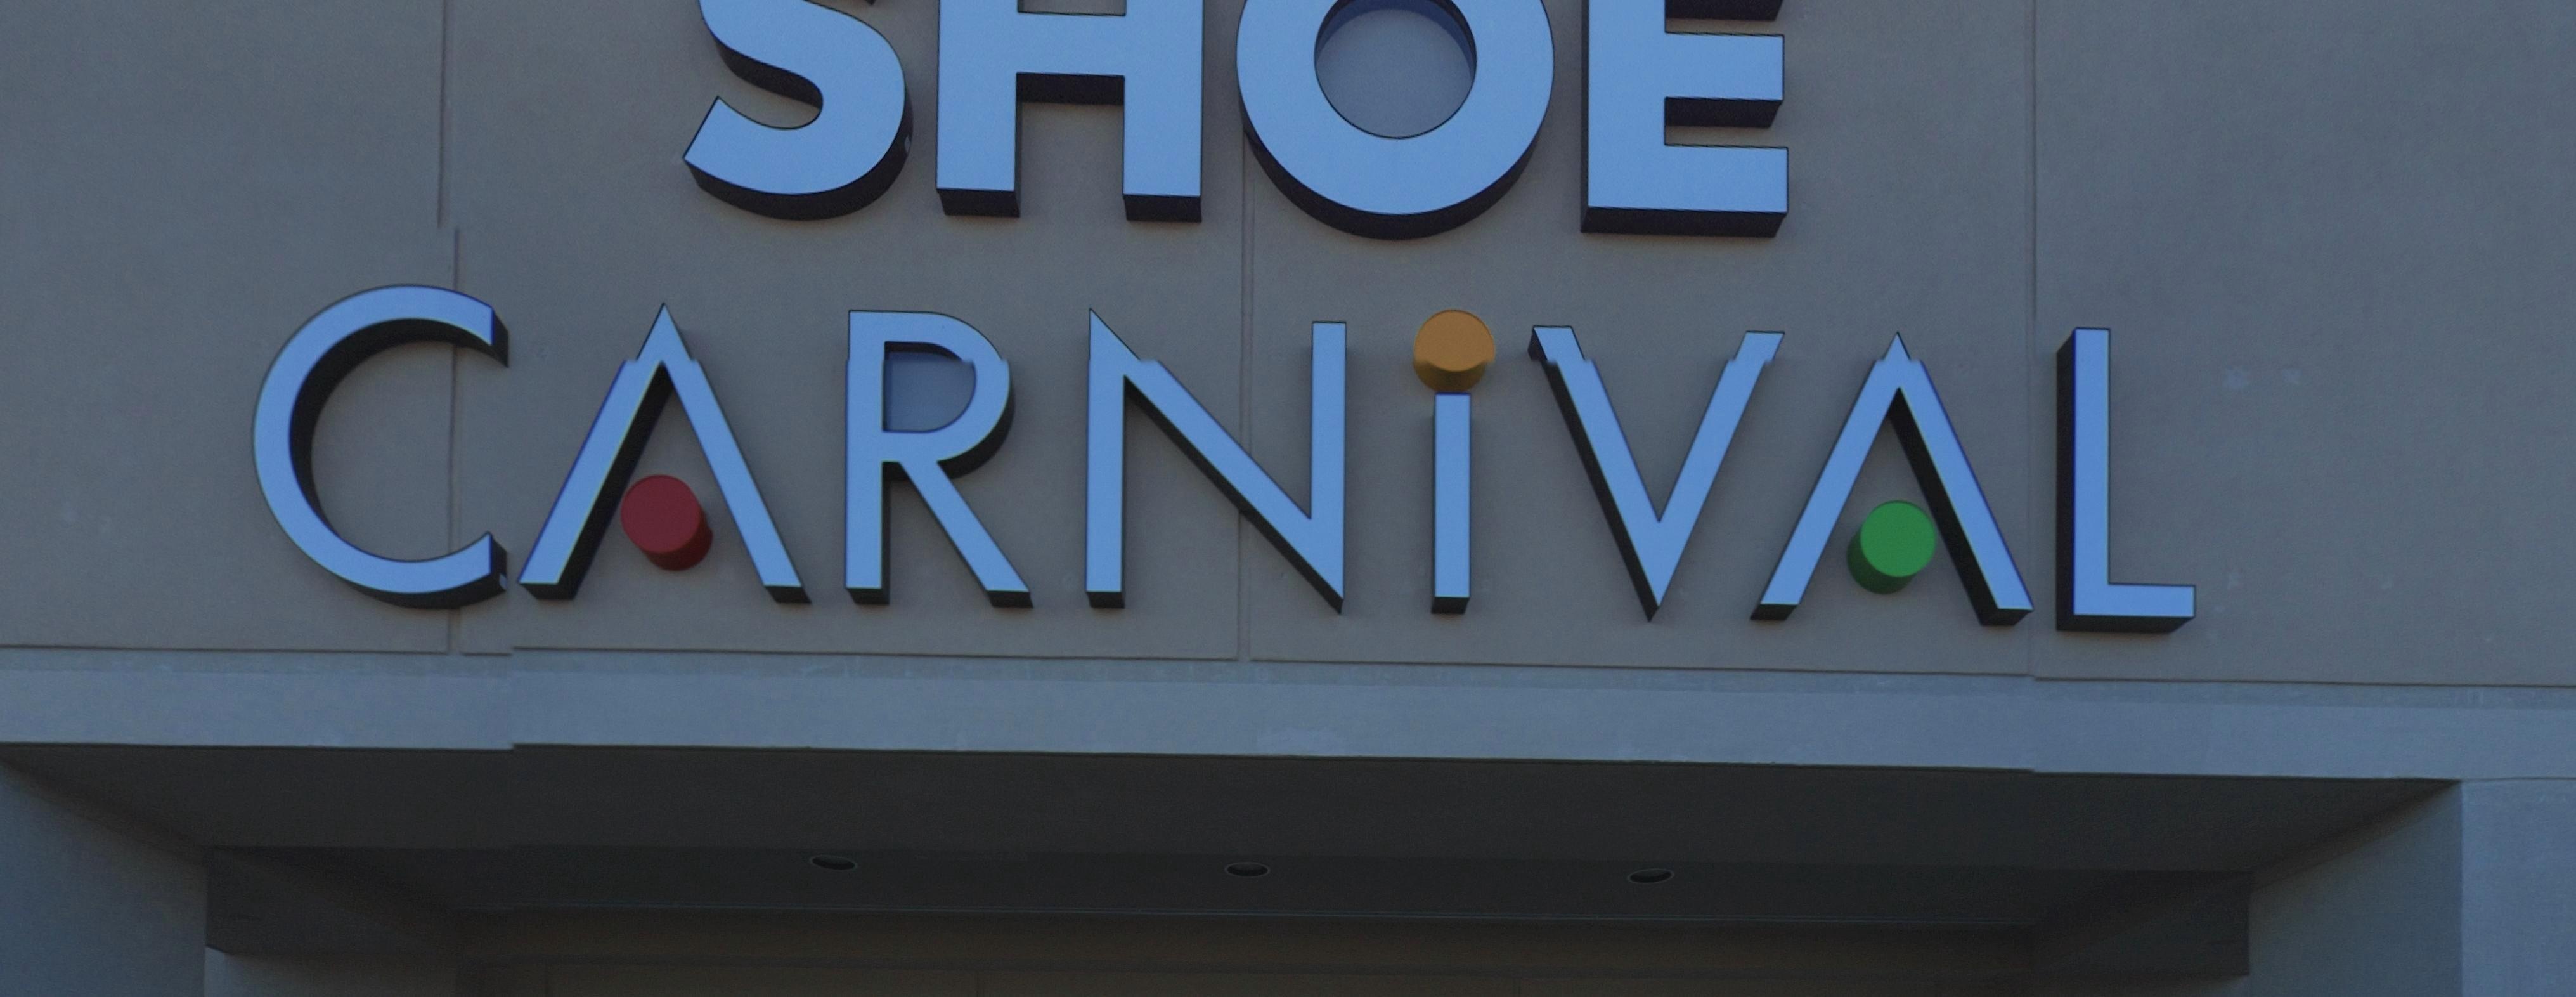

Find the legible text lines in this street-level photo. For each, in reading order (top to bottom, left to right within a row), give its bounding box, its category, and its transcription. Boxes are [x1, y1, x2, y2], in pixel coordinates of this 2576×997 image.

[243, 278, 2201, 625] BusinessName: CARNIVAL